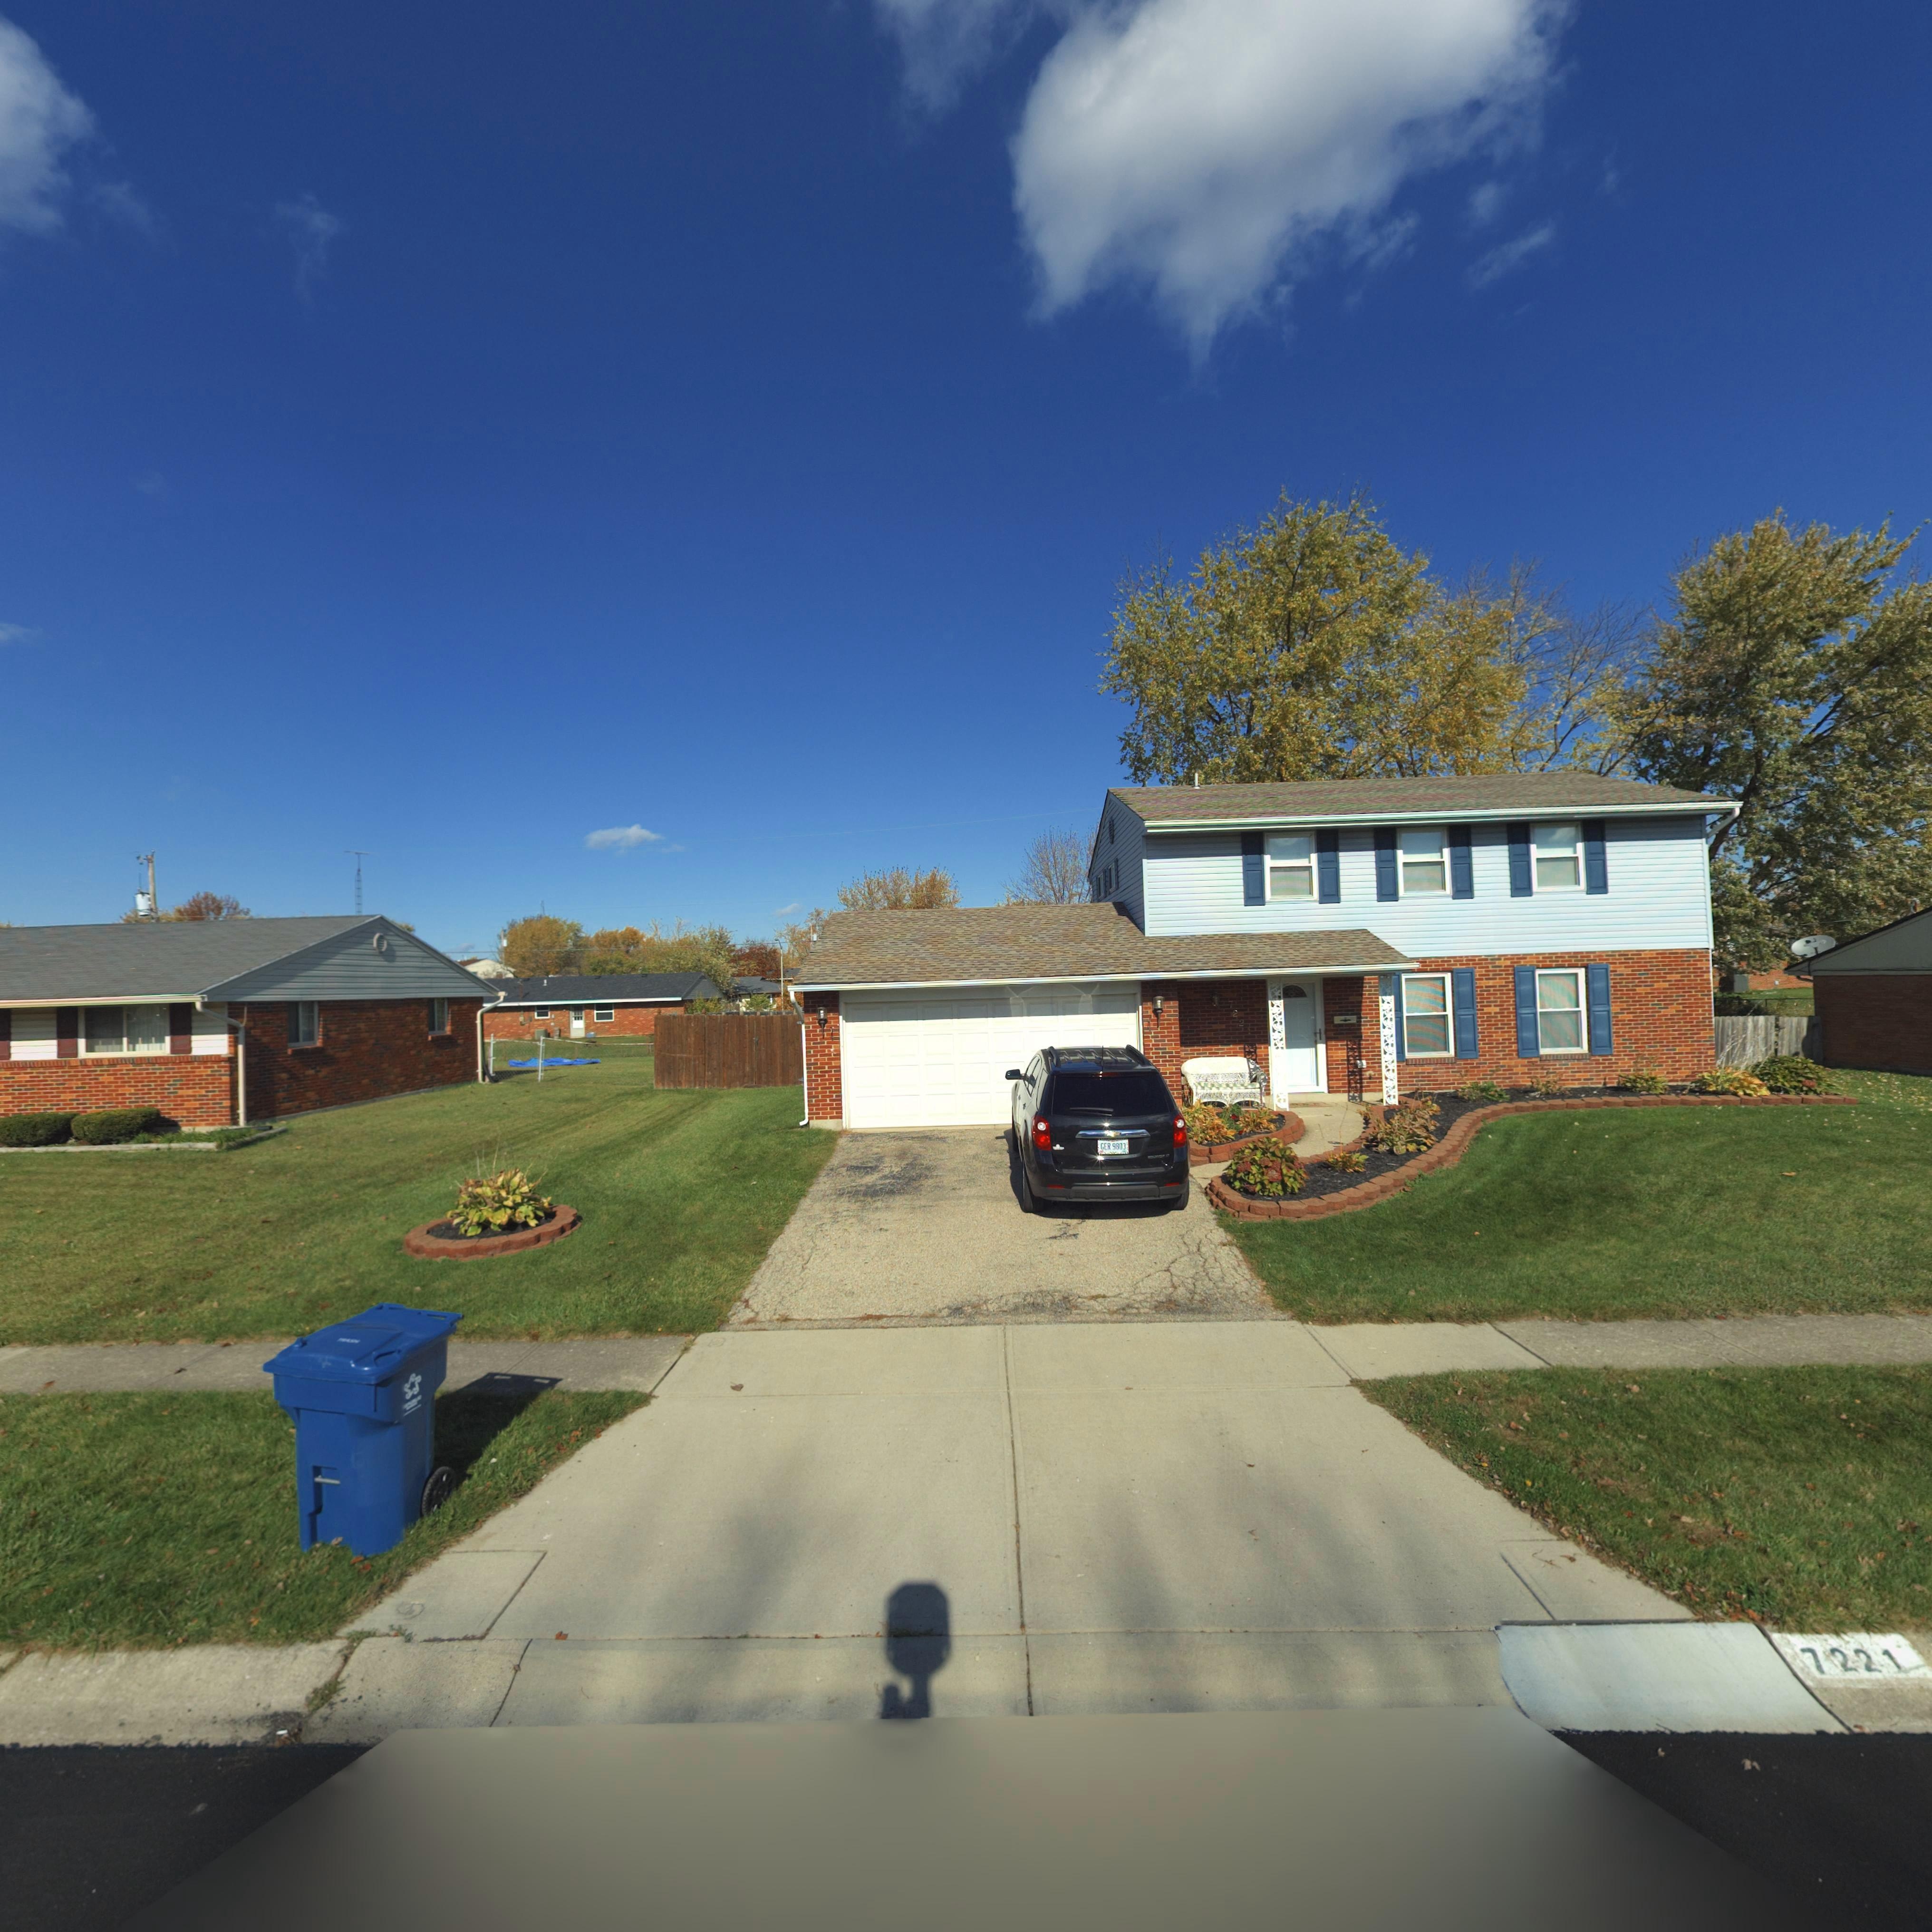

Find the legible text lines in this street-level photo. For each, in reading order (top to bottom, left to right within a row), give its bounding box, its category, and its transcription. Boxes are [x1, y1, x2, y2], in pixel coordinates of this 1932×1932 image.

[1227, 999, 1252, 1036] StreetNumber: 7221
[1796, 1645, 1908, 1676] StreetNumber: 7221